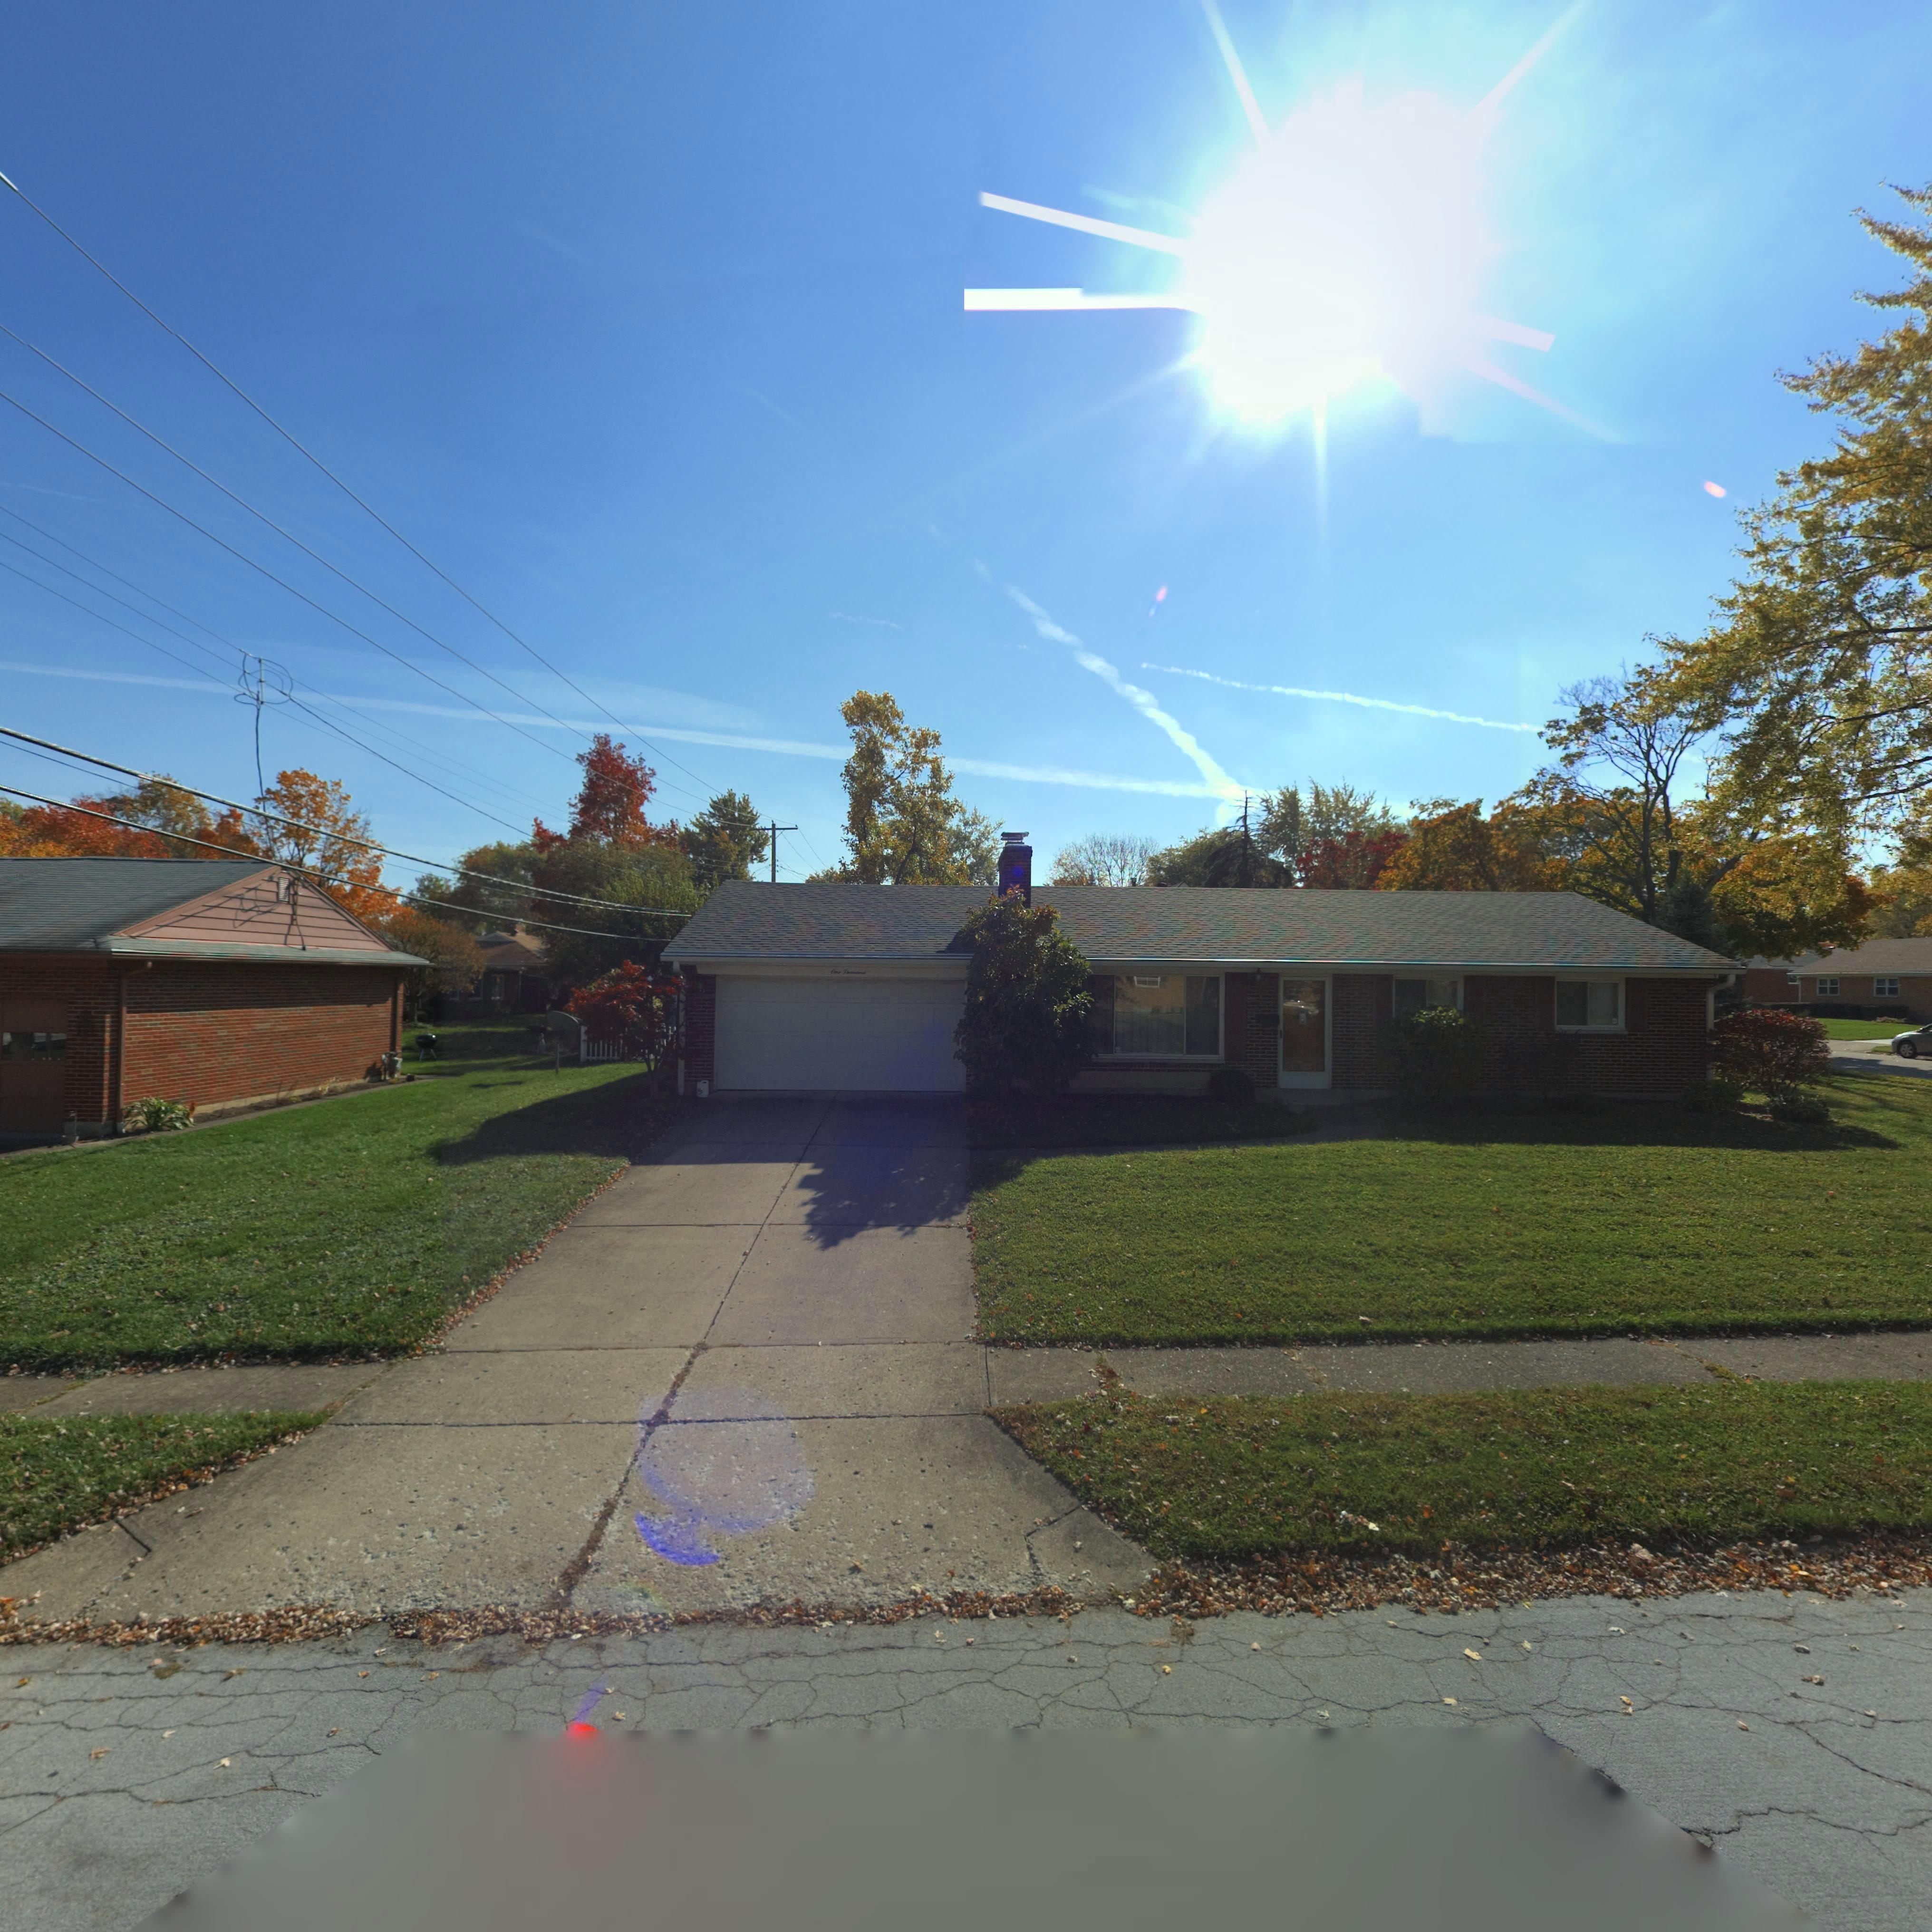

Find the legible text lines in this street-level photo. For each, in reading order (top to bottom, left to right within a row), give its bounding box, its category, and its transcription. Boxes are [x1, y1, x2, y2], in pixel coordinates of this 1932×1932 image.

[830, 968, 867, 975] StreetNumber: One Thousand